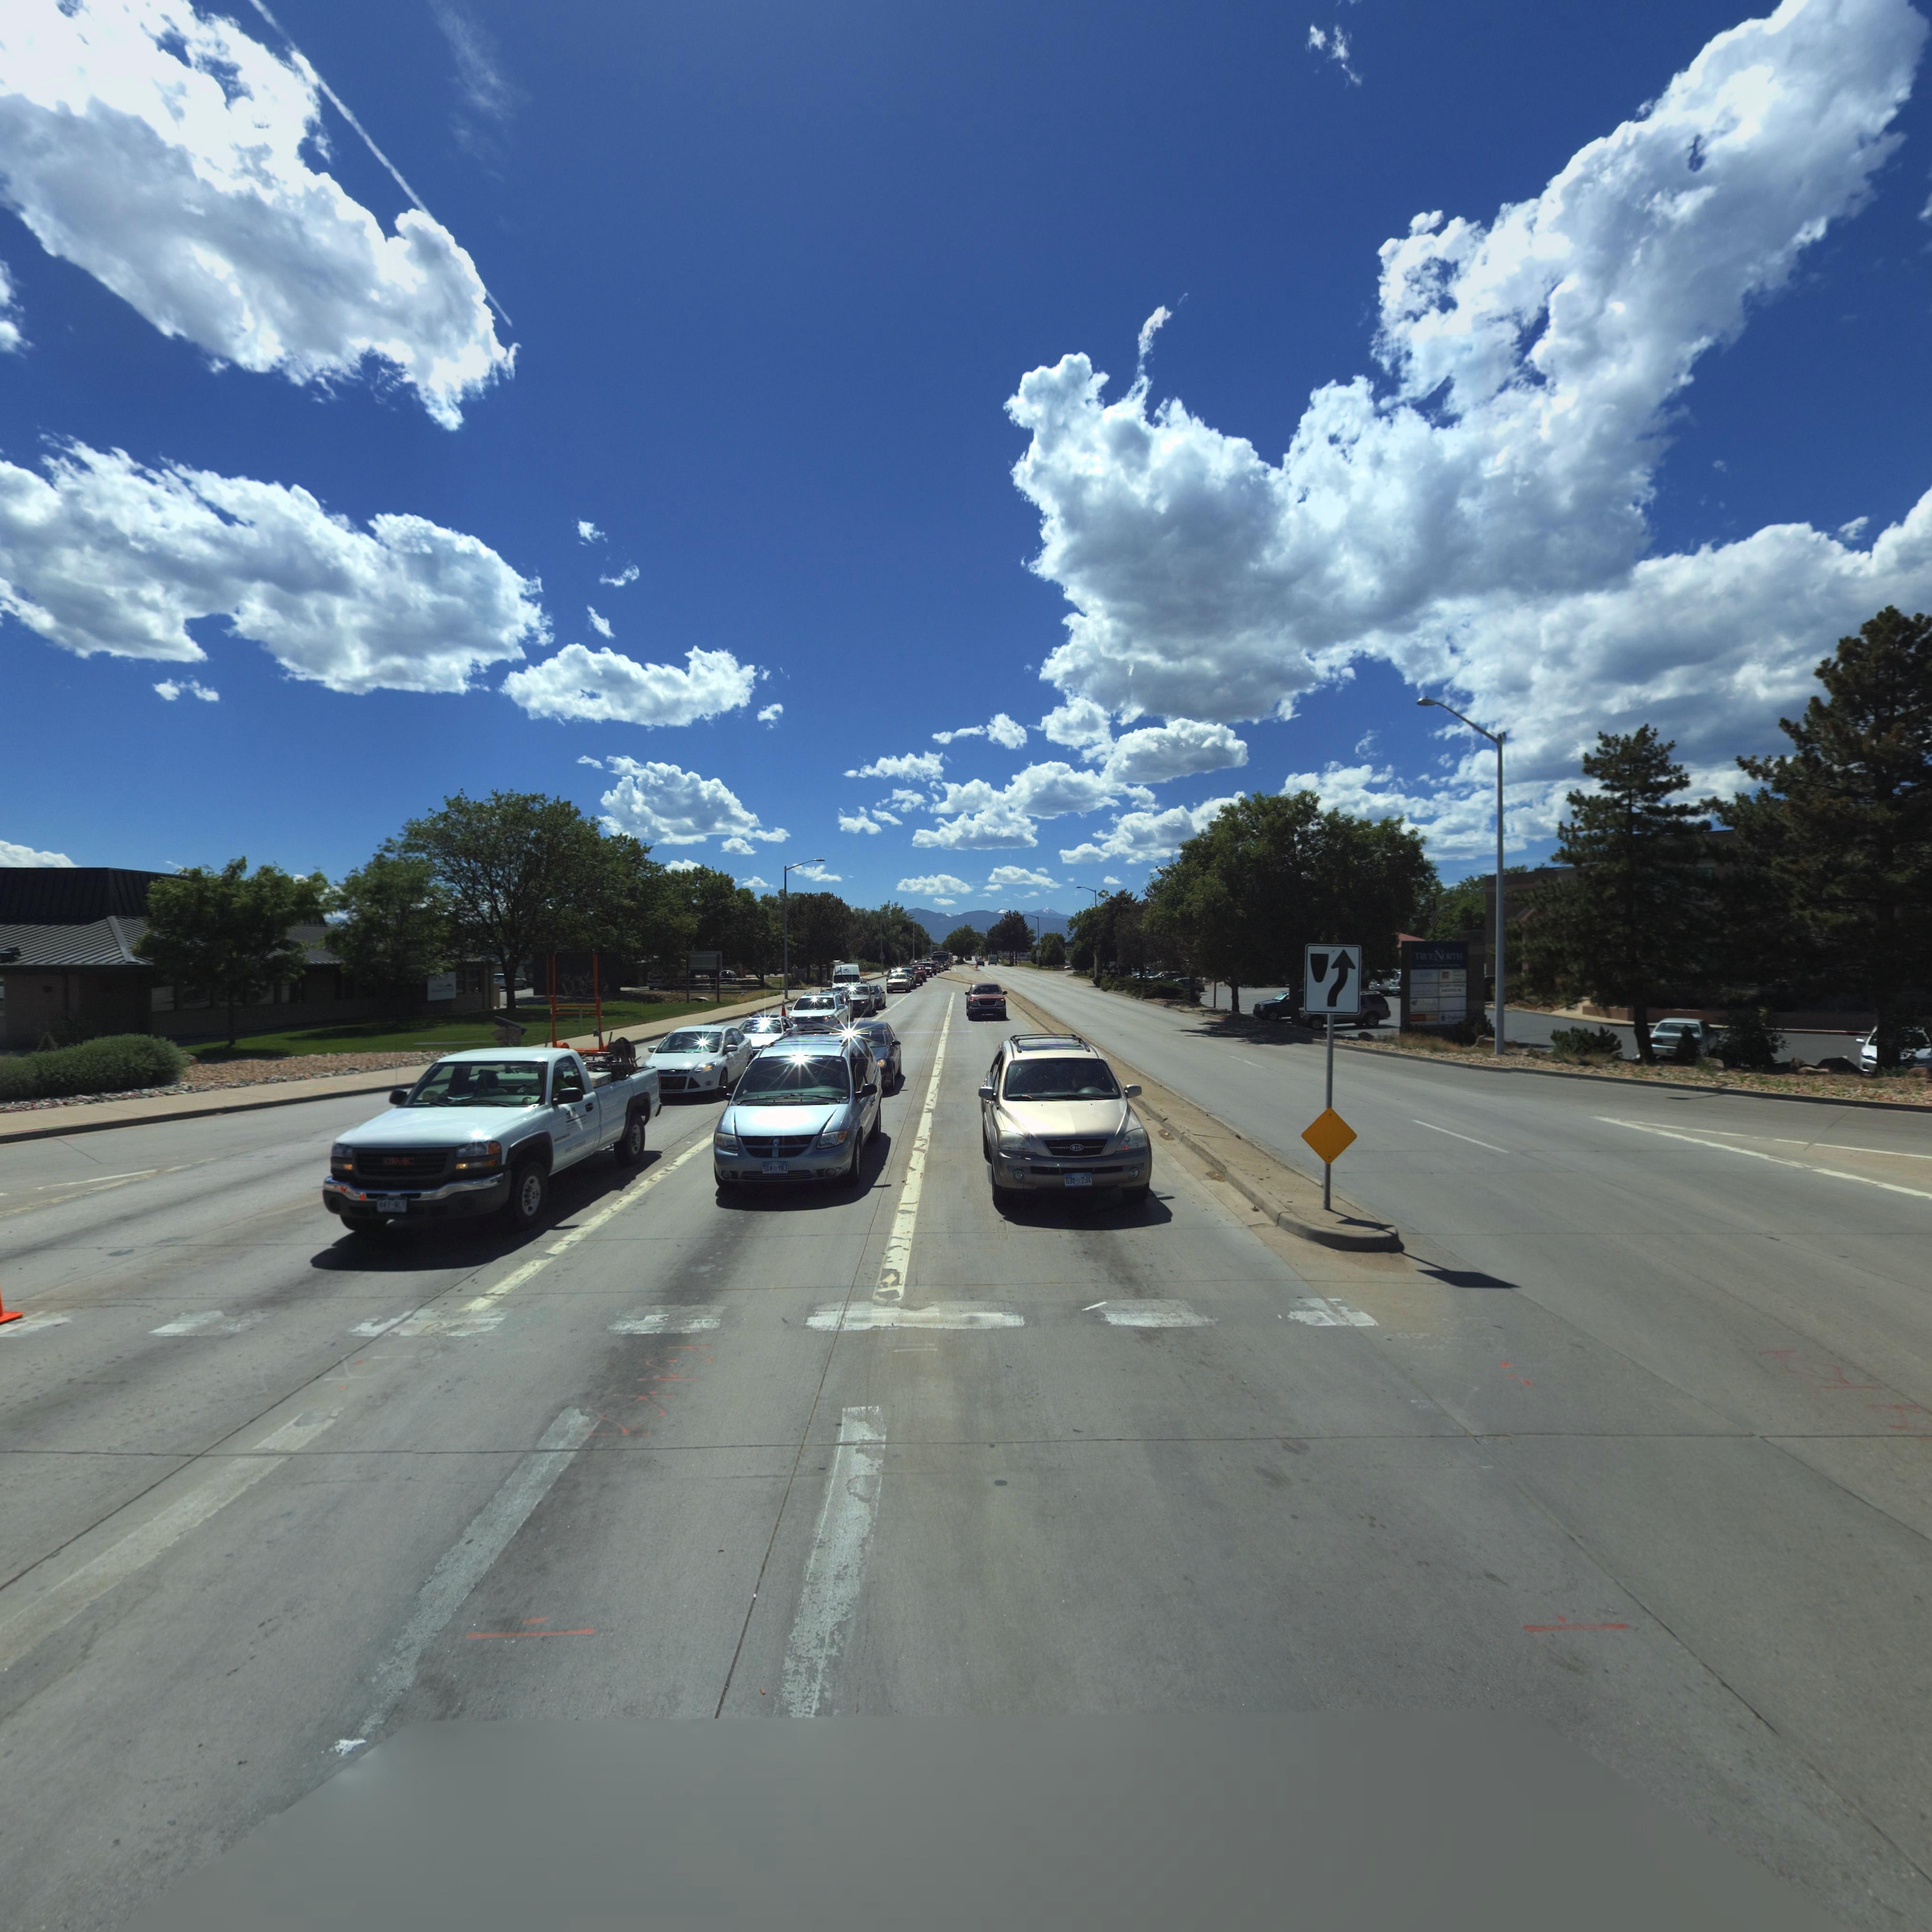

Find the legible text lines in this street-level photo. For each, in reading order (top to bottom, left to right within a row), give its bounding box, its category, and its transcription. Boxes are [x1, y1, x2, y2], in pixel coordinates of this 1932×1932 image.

[1414, 949, 1463, 960] BusinessName: TRUENORTH